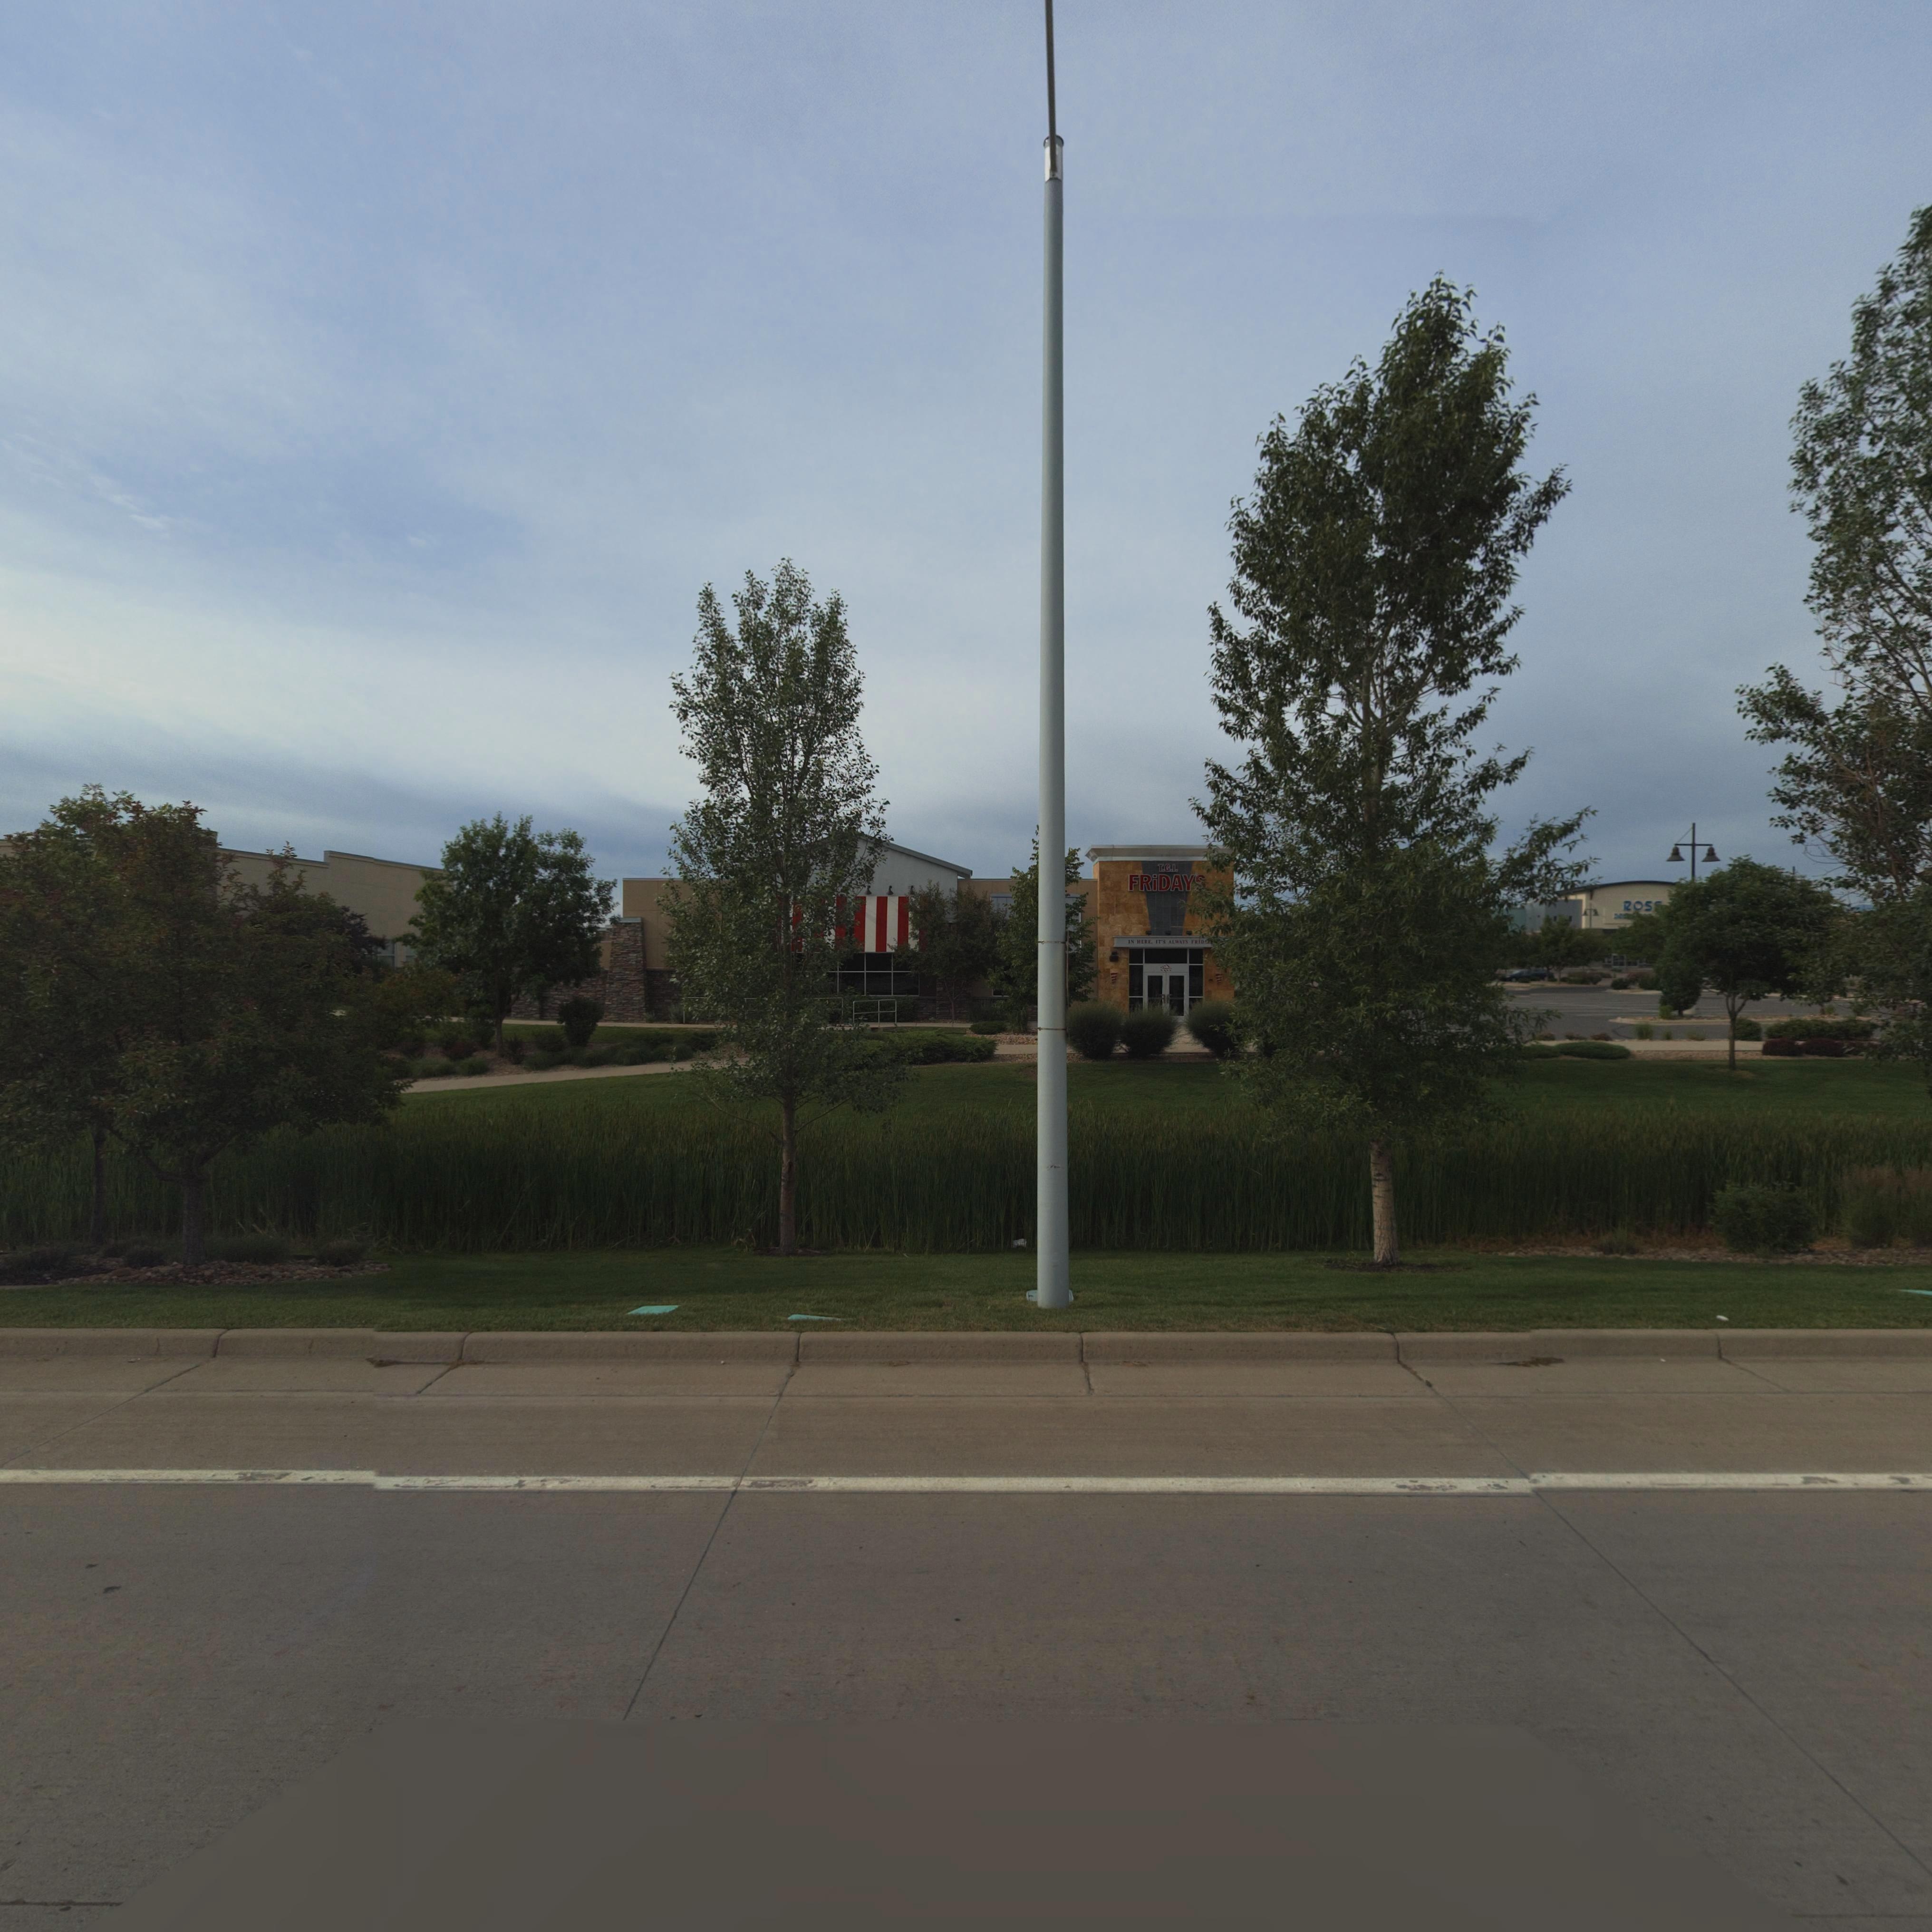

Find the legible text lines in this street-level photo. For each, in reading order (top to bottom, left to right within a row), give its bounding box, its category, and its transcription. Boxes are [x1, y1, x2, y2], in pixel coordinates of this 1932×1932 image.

[1158, 864, 1178, 872] BusinessName: T.G.I.
[1128, 871, 1206, 891] BusinessName: FRIDAY'S
[1622, 900, 1662, 911] BusinessName: ROS*
[1613, 913, 1627, 918] BusinessName: D***